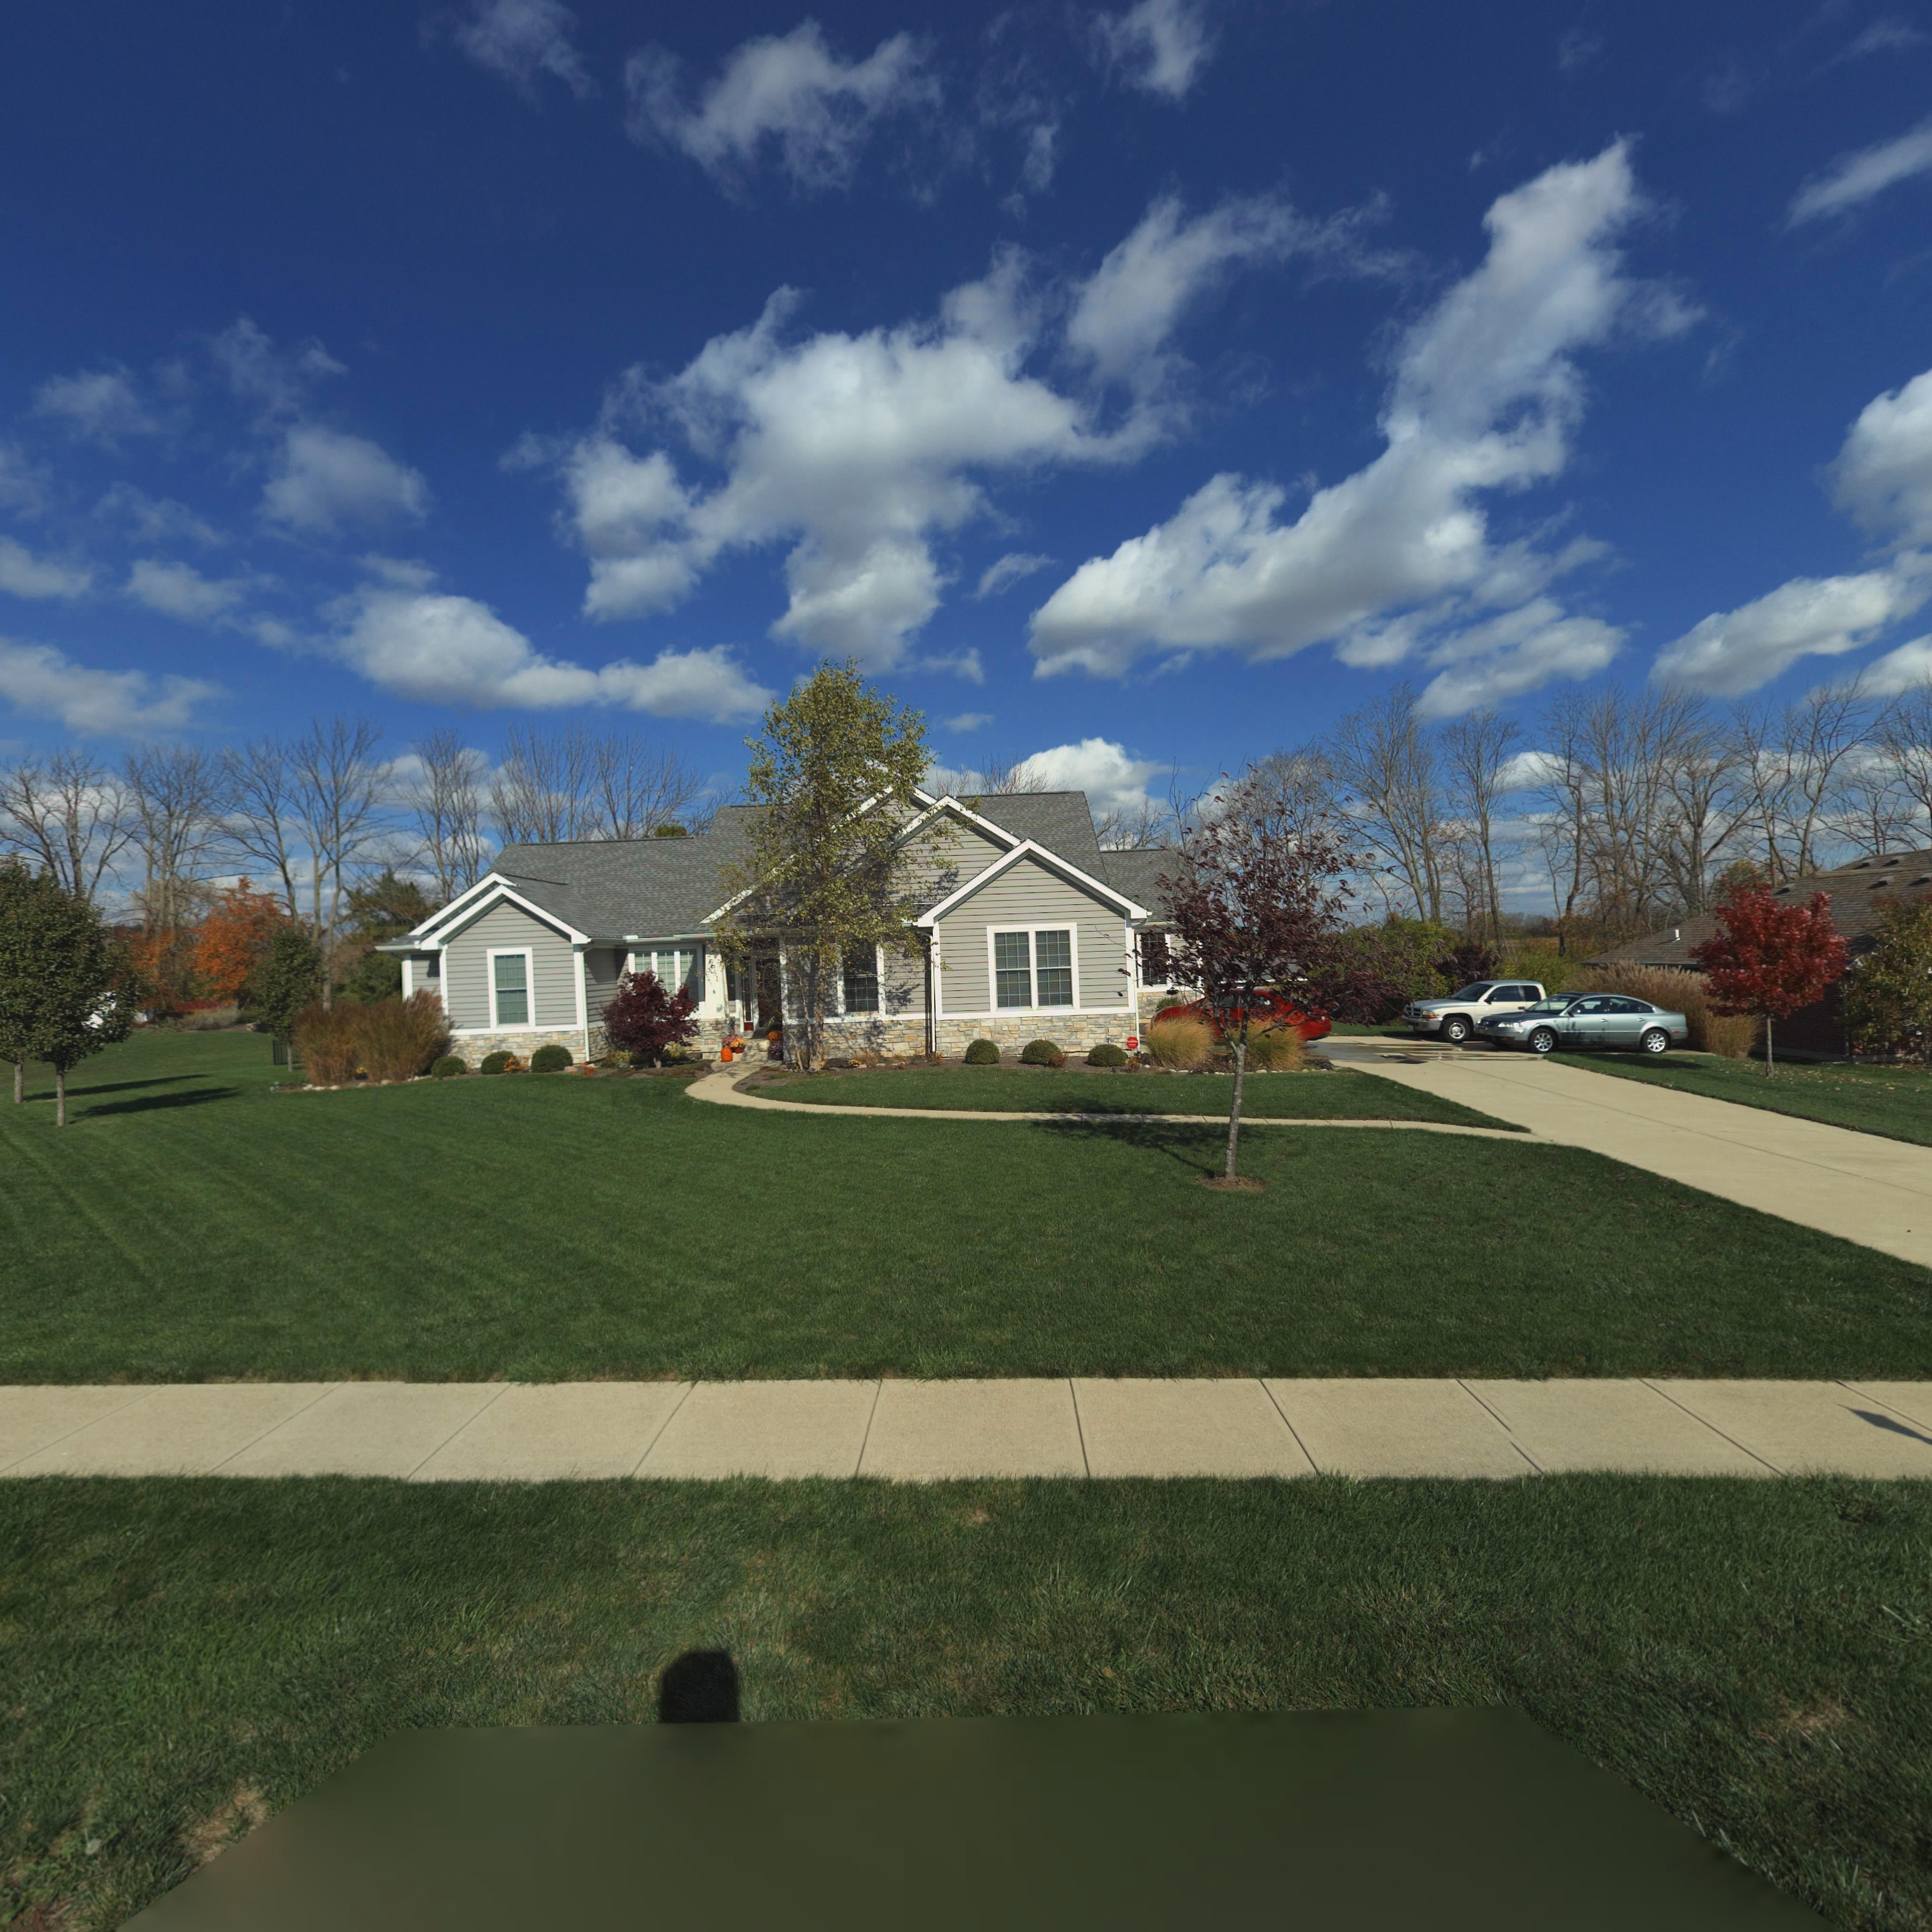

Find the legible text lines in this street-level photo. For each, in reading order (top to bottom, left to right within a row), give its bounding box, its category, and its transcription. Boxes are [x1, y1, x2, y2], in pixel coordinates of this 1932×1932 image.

[708, 958, 718, 982] StreetNumber: 6*51